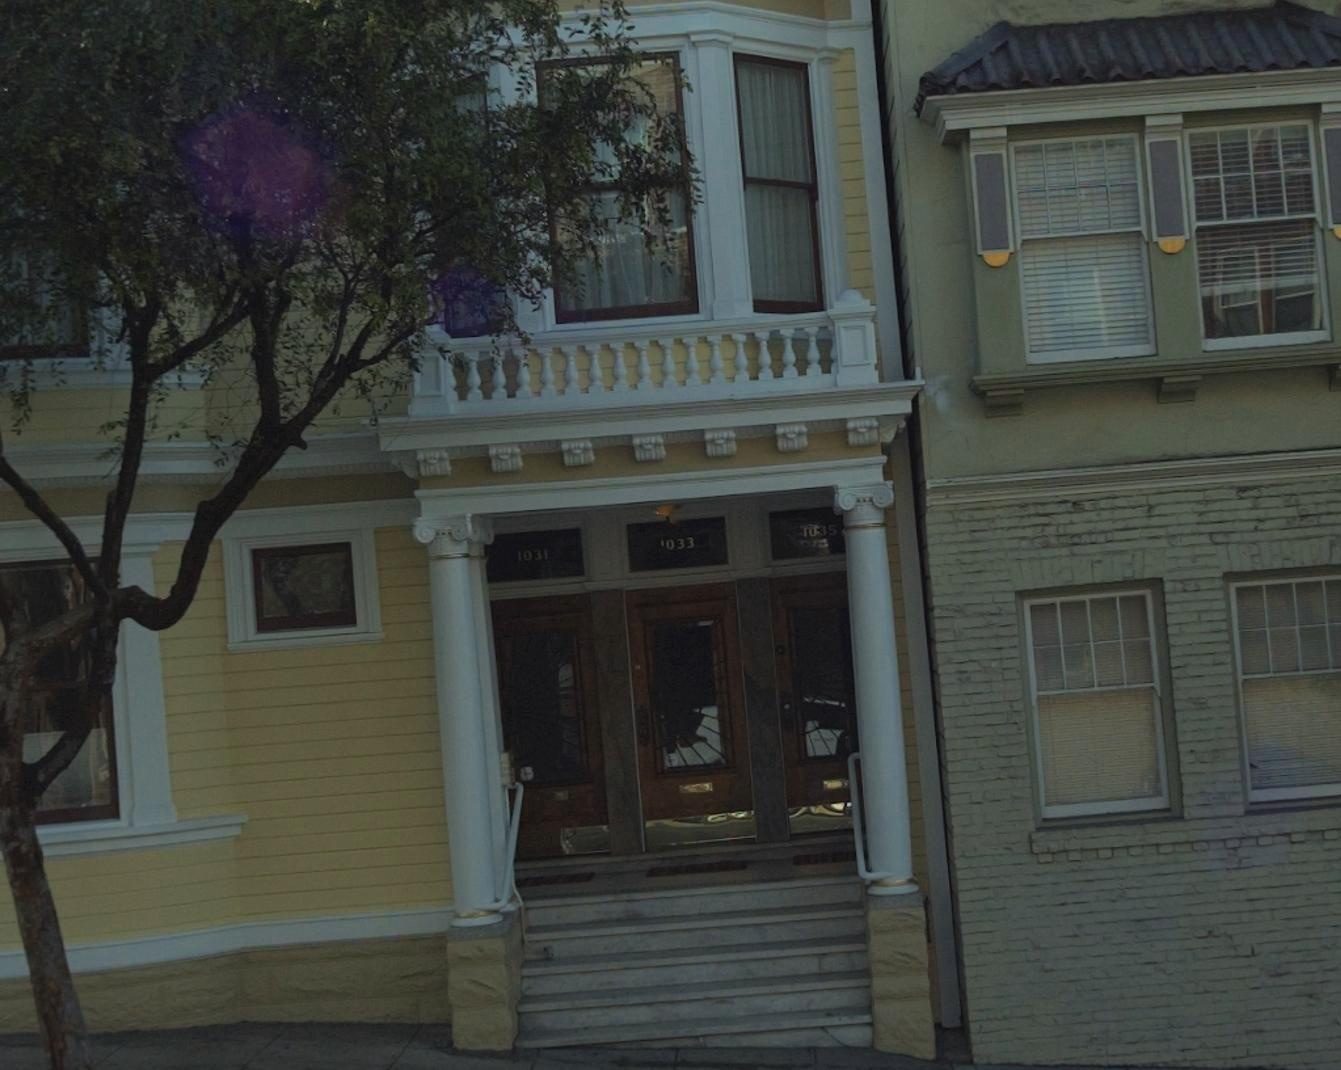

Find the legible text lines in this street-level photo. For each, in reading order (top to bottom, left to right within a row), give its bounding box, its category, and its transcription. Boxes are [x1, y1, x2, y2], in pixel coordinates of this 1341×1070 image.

[800, 521, 839, 541] StreetNumber: 1035
[658, 534, 697, 555] StreetNumber: *033
[515, 546, 552, 565] StreetNumber: 1031